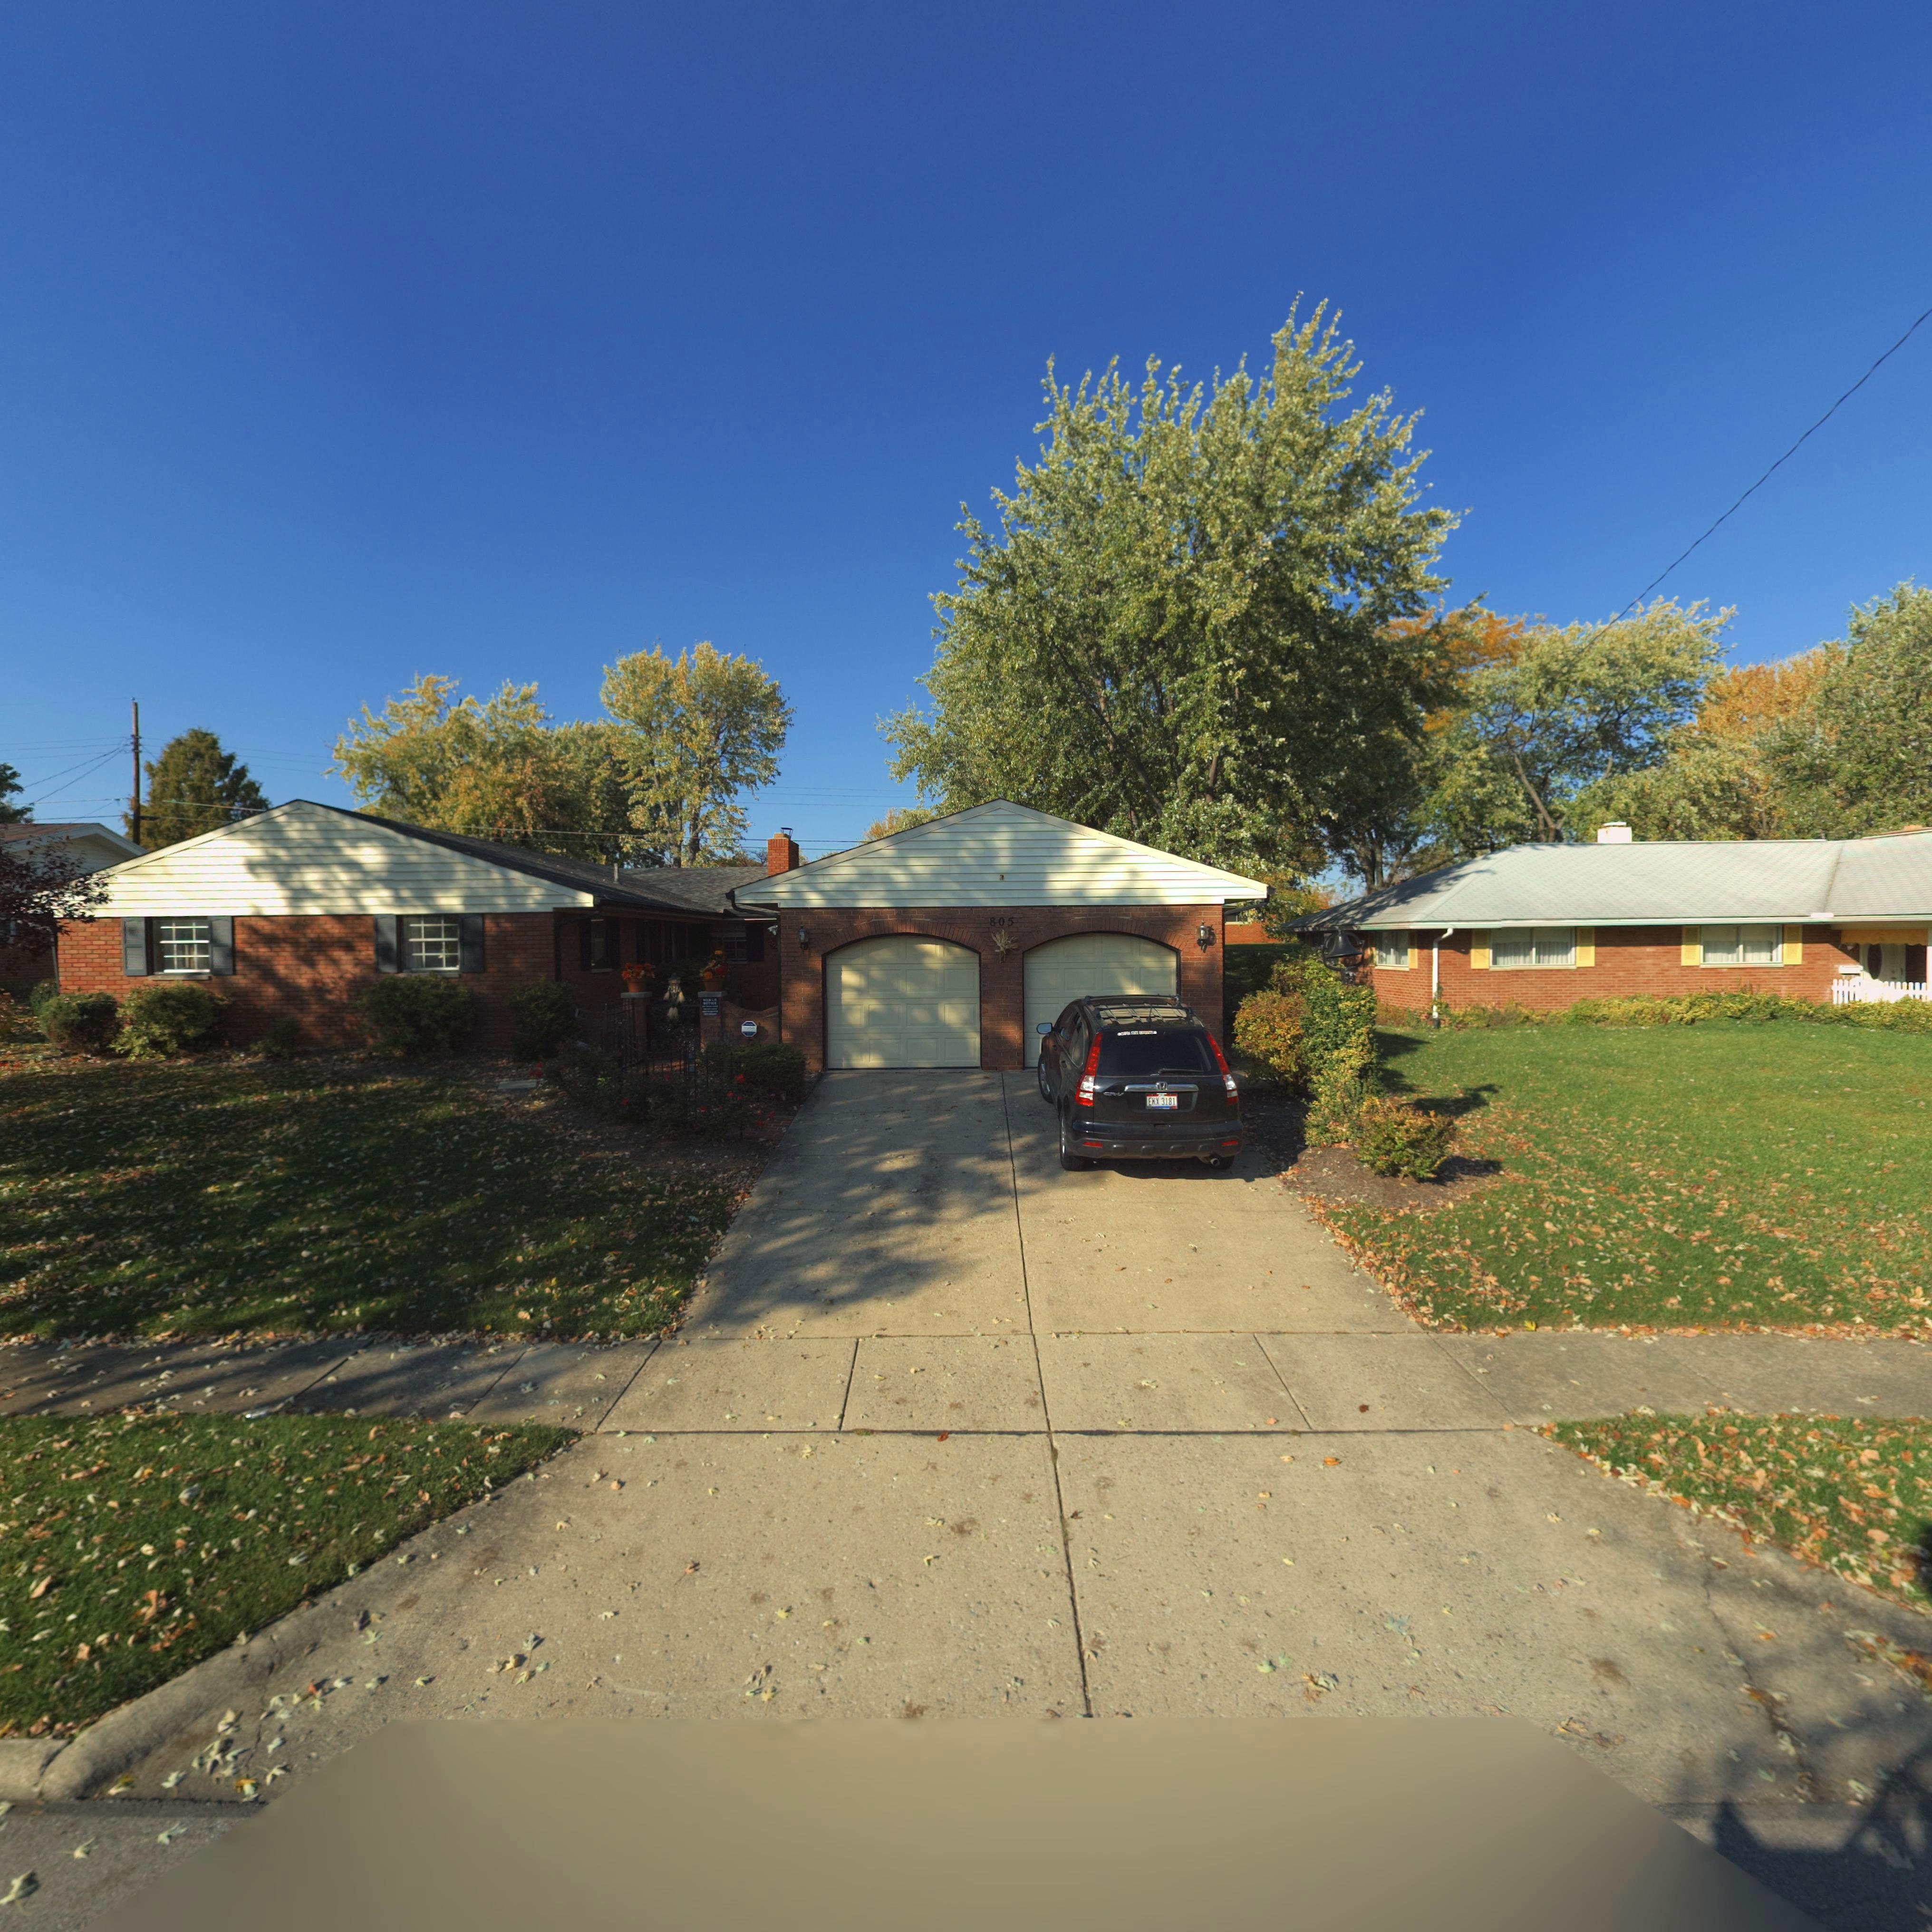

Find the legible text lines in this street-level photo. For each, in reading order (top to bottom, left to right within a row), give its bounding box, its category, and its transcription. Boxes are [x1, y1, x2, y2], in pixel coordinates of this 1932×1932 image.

[989, 916, 1014, 927] StreetNumber: 805